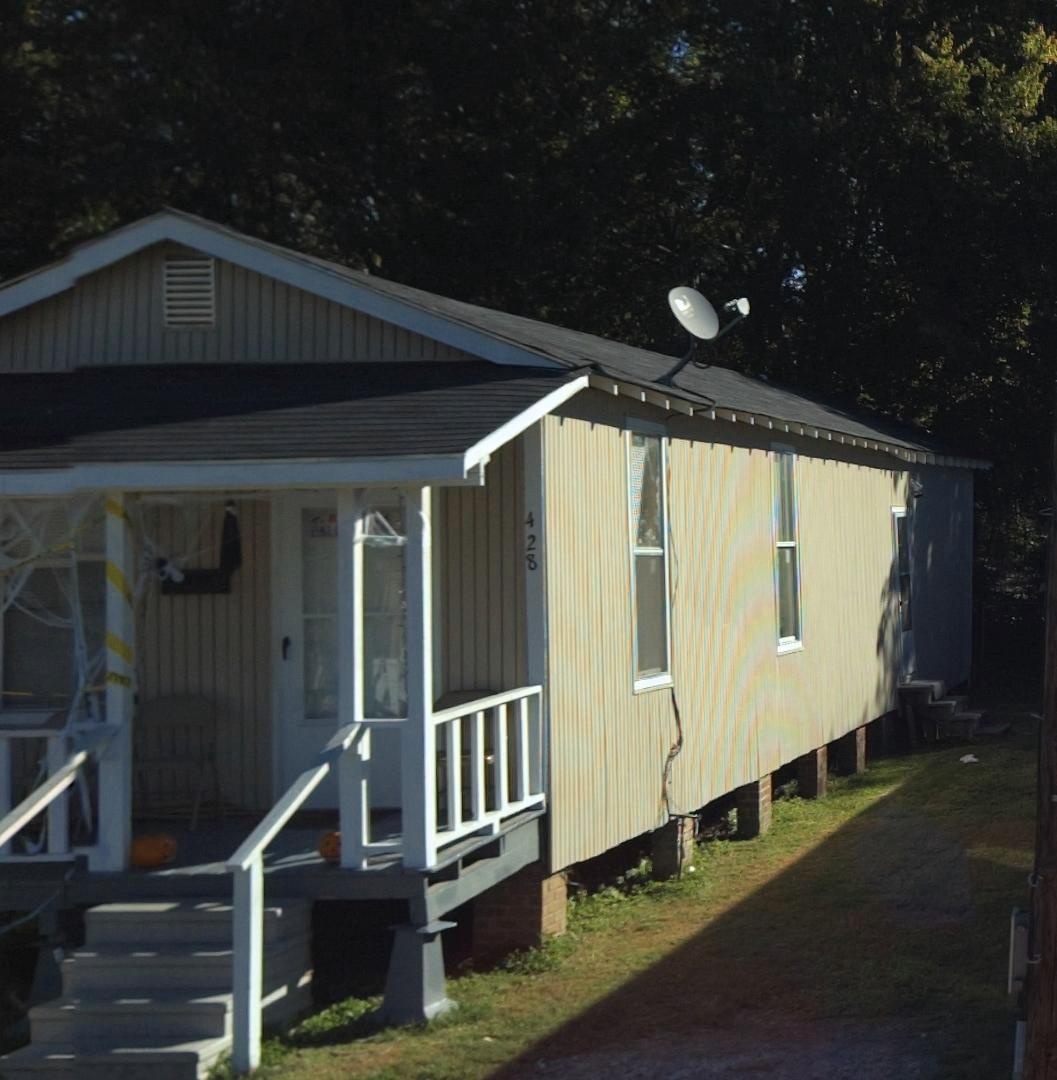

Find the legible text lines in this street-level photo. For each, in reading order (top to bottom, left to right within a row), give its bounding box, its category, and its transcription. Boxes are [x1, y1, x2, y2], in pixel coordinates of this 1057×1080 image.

[521, 508, 541, 574] StreetNumber: 428